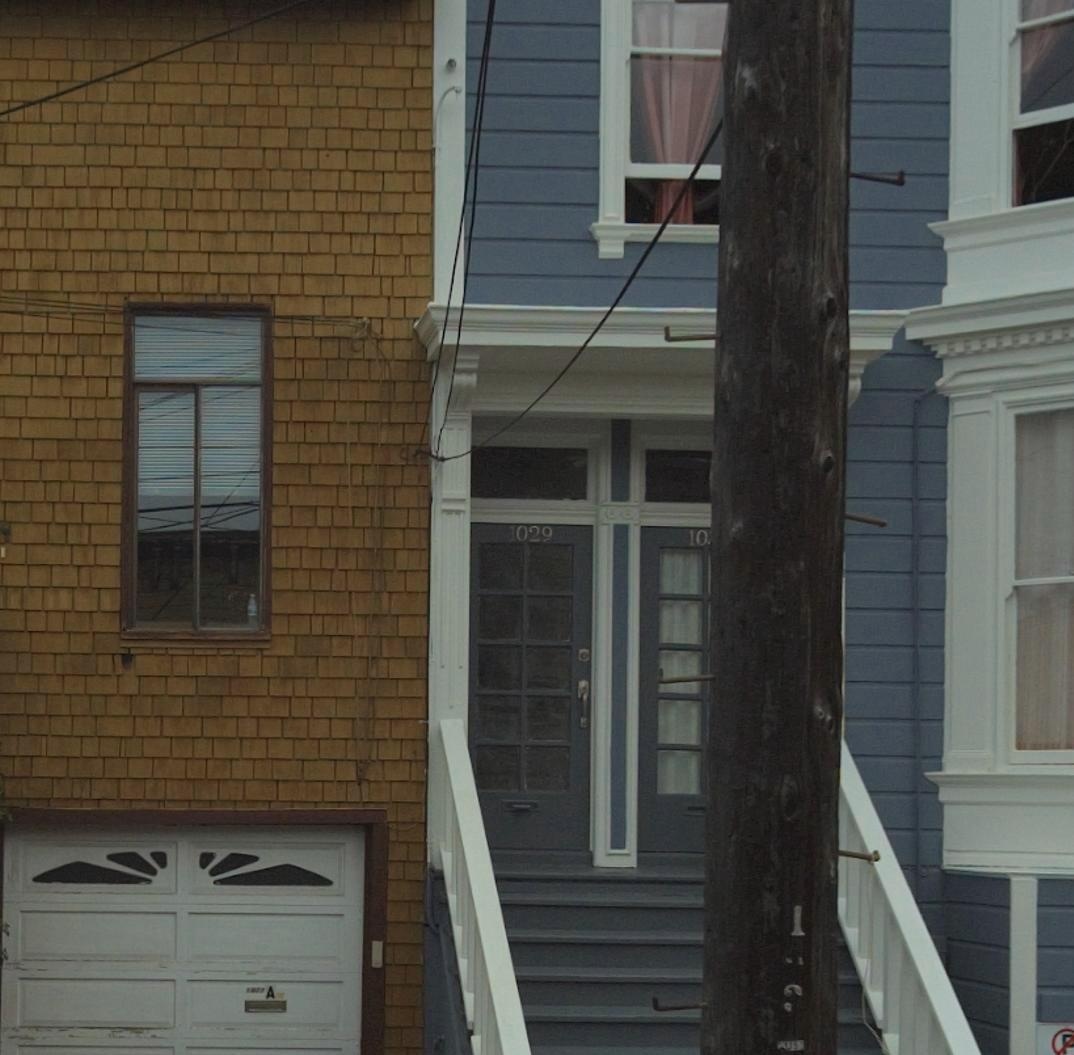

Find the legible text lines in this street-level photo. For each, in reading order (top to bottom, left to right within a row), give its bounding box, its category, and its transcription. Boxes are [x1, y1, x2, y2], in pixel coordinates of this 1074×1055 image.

[506, 523, 555, 545] StreetNumber: 1029
[688, 528, 710, 548] StreetNumber: 10
[788, 900, 808, 940] None: 1